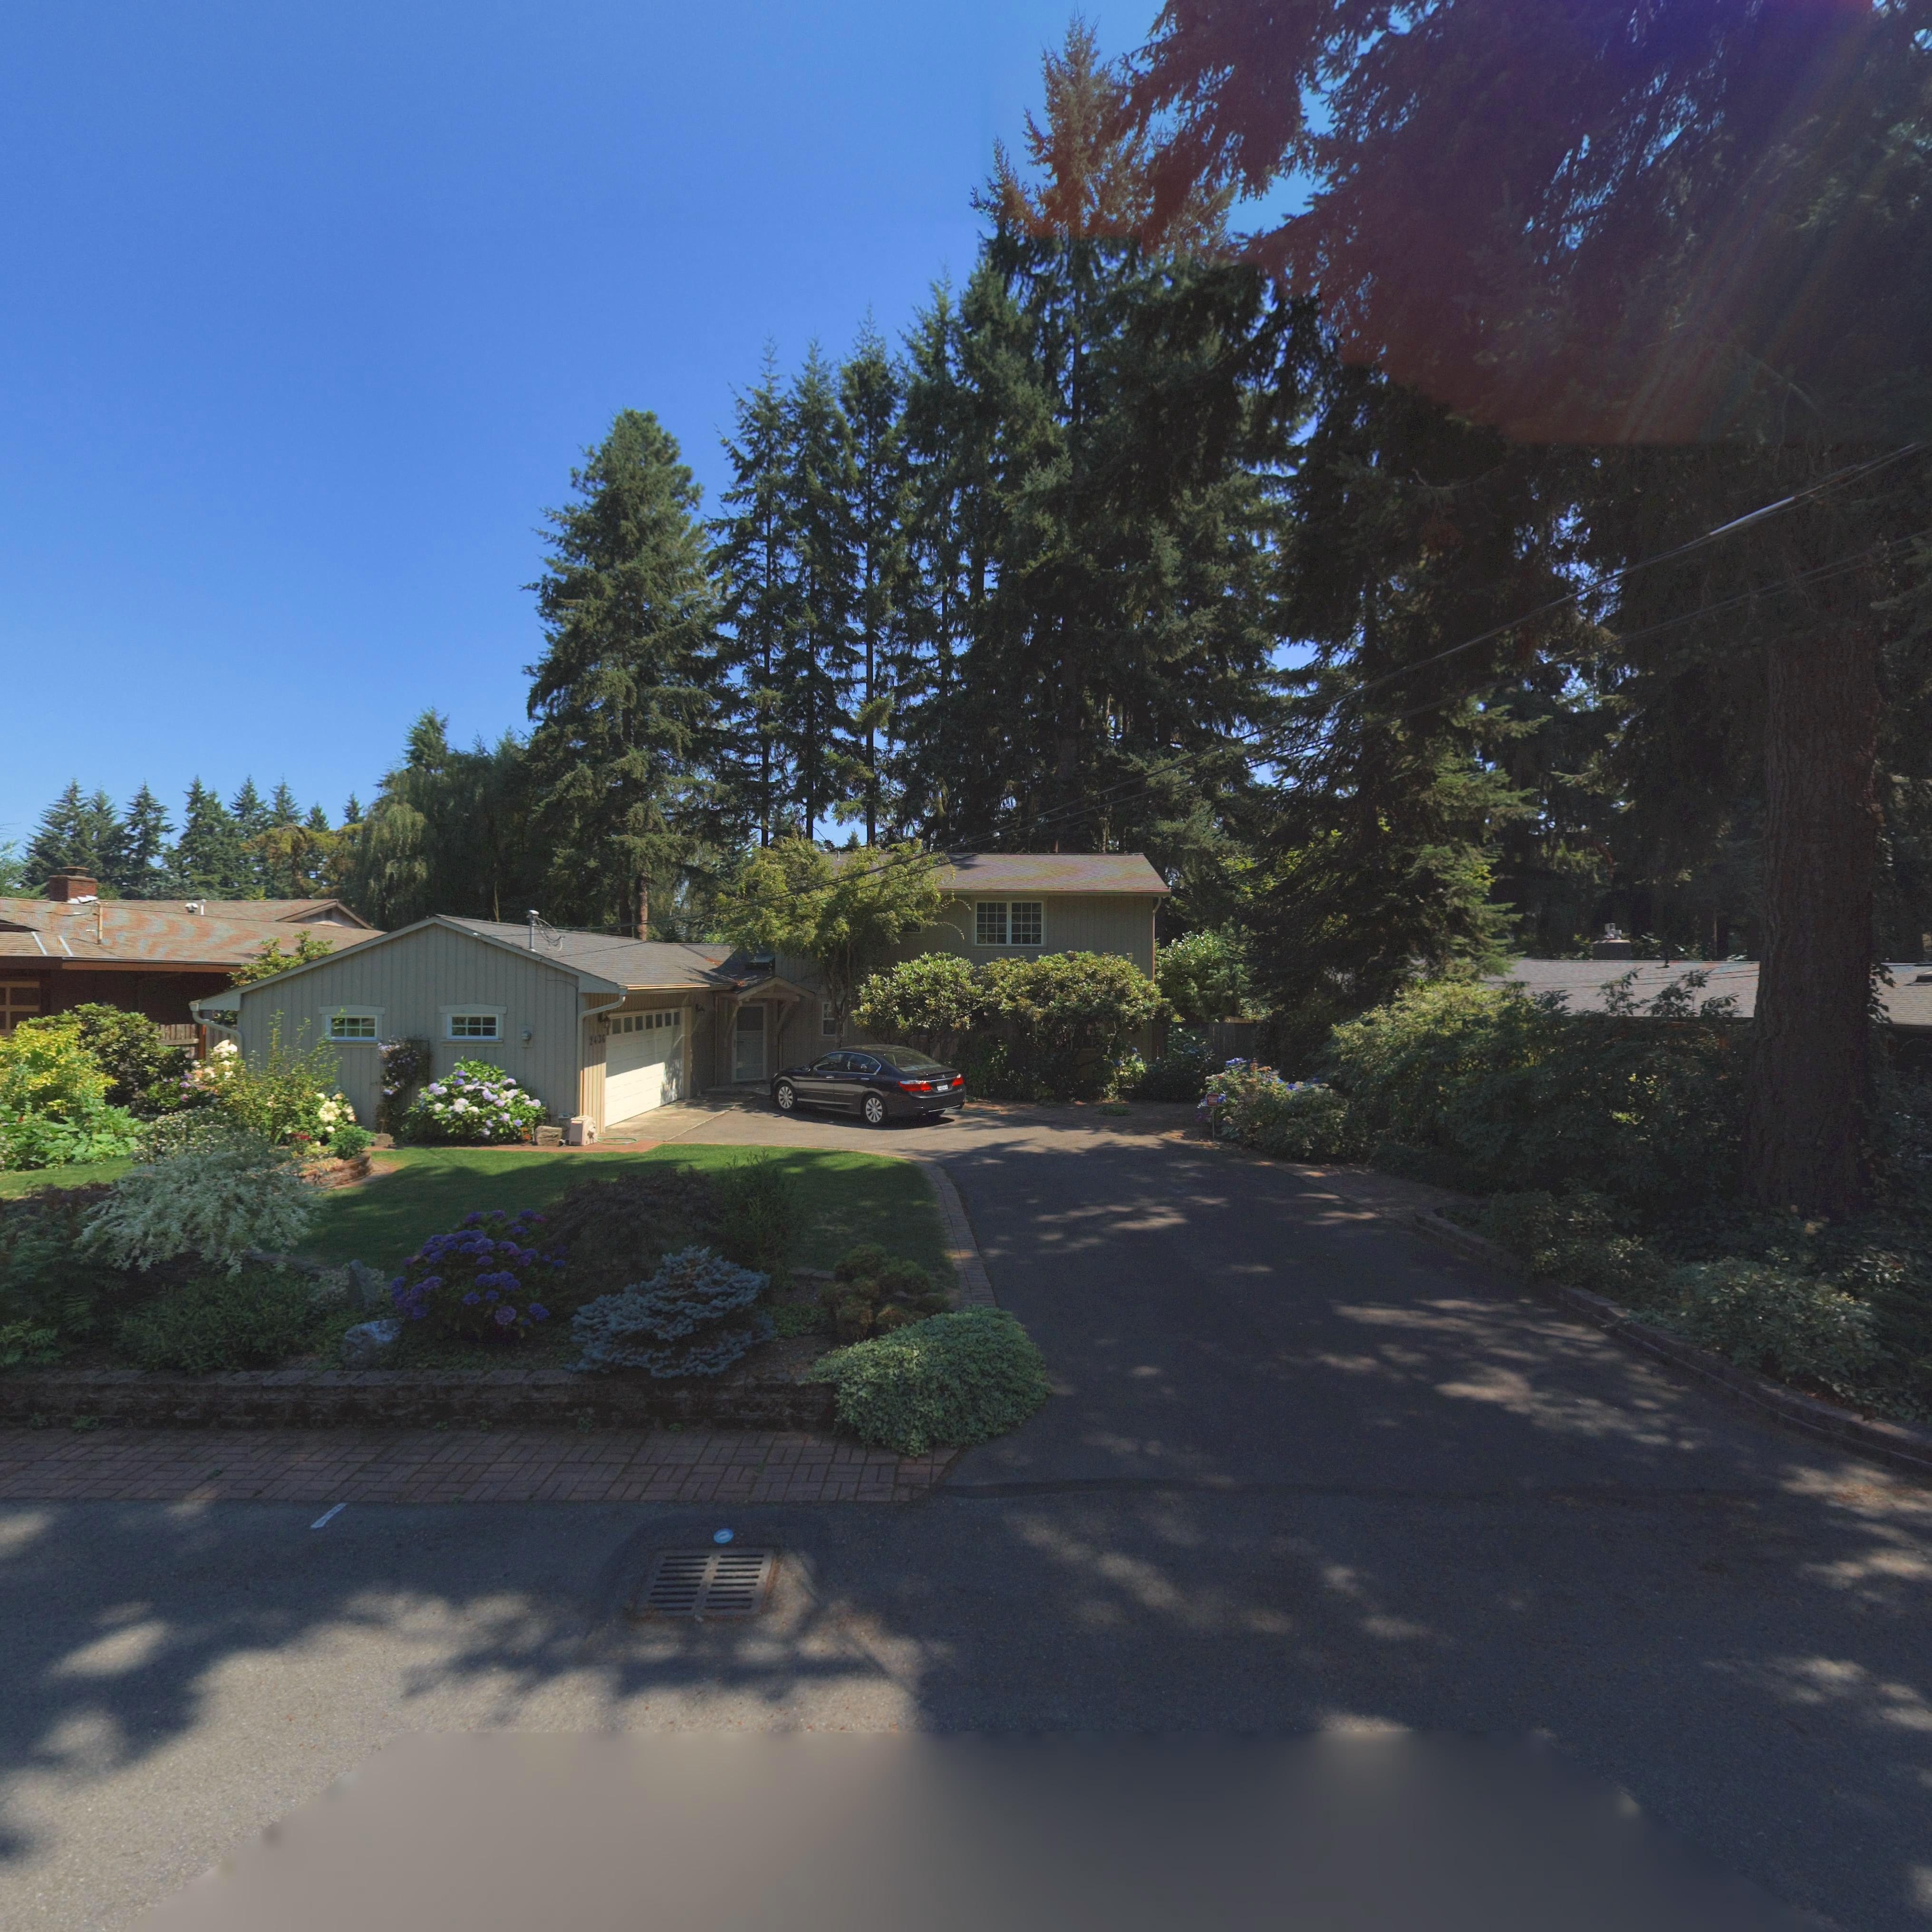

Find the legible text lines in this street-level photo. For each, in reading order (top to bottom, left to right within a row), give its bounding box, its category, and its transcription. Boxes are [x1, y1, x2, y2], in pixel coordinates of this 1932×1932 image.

[589, 1034, 605, 1045] StreetNumber: 2436